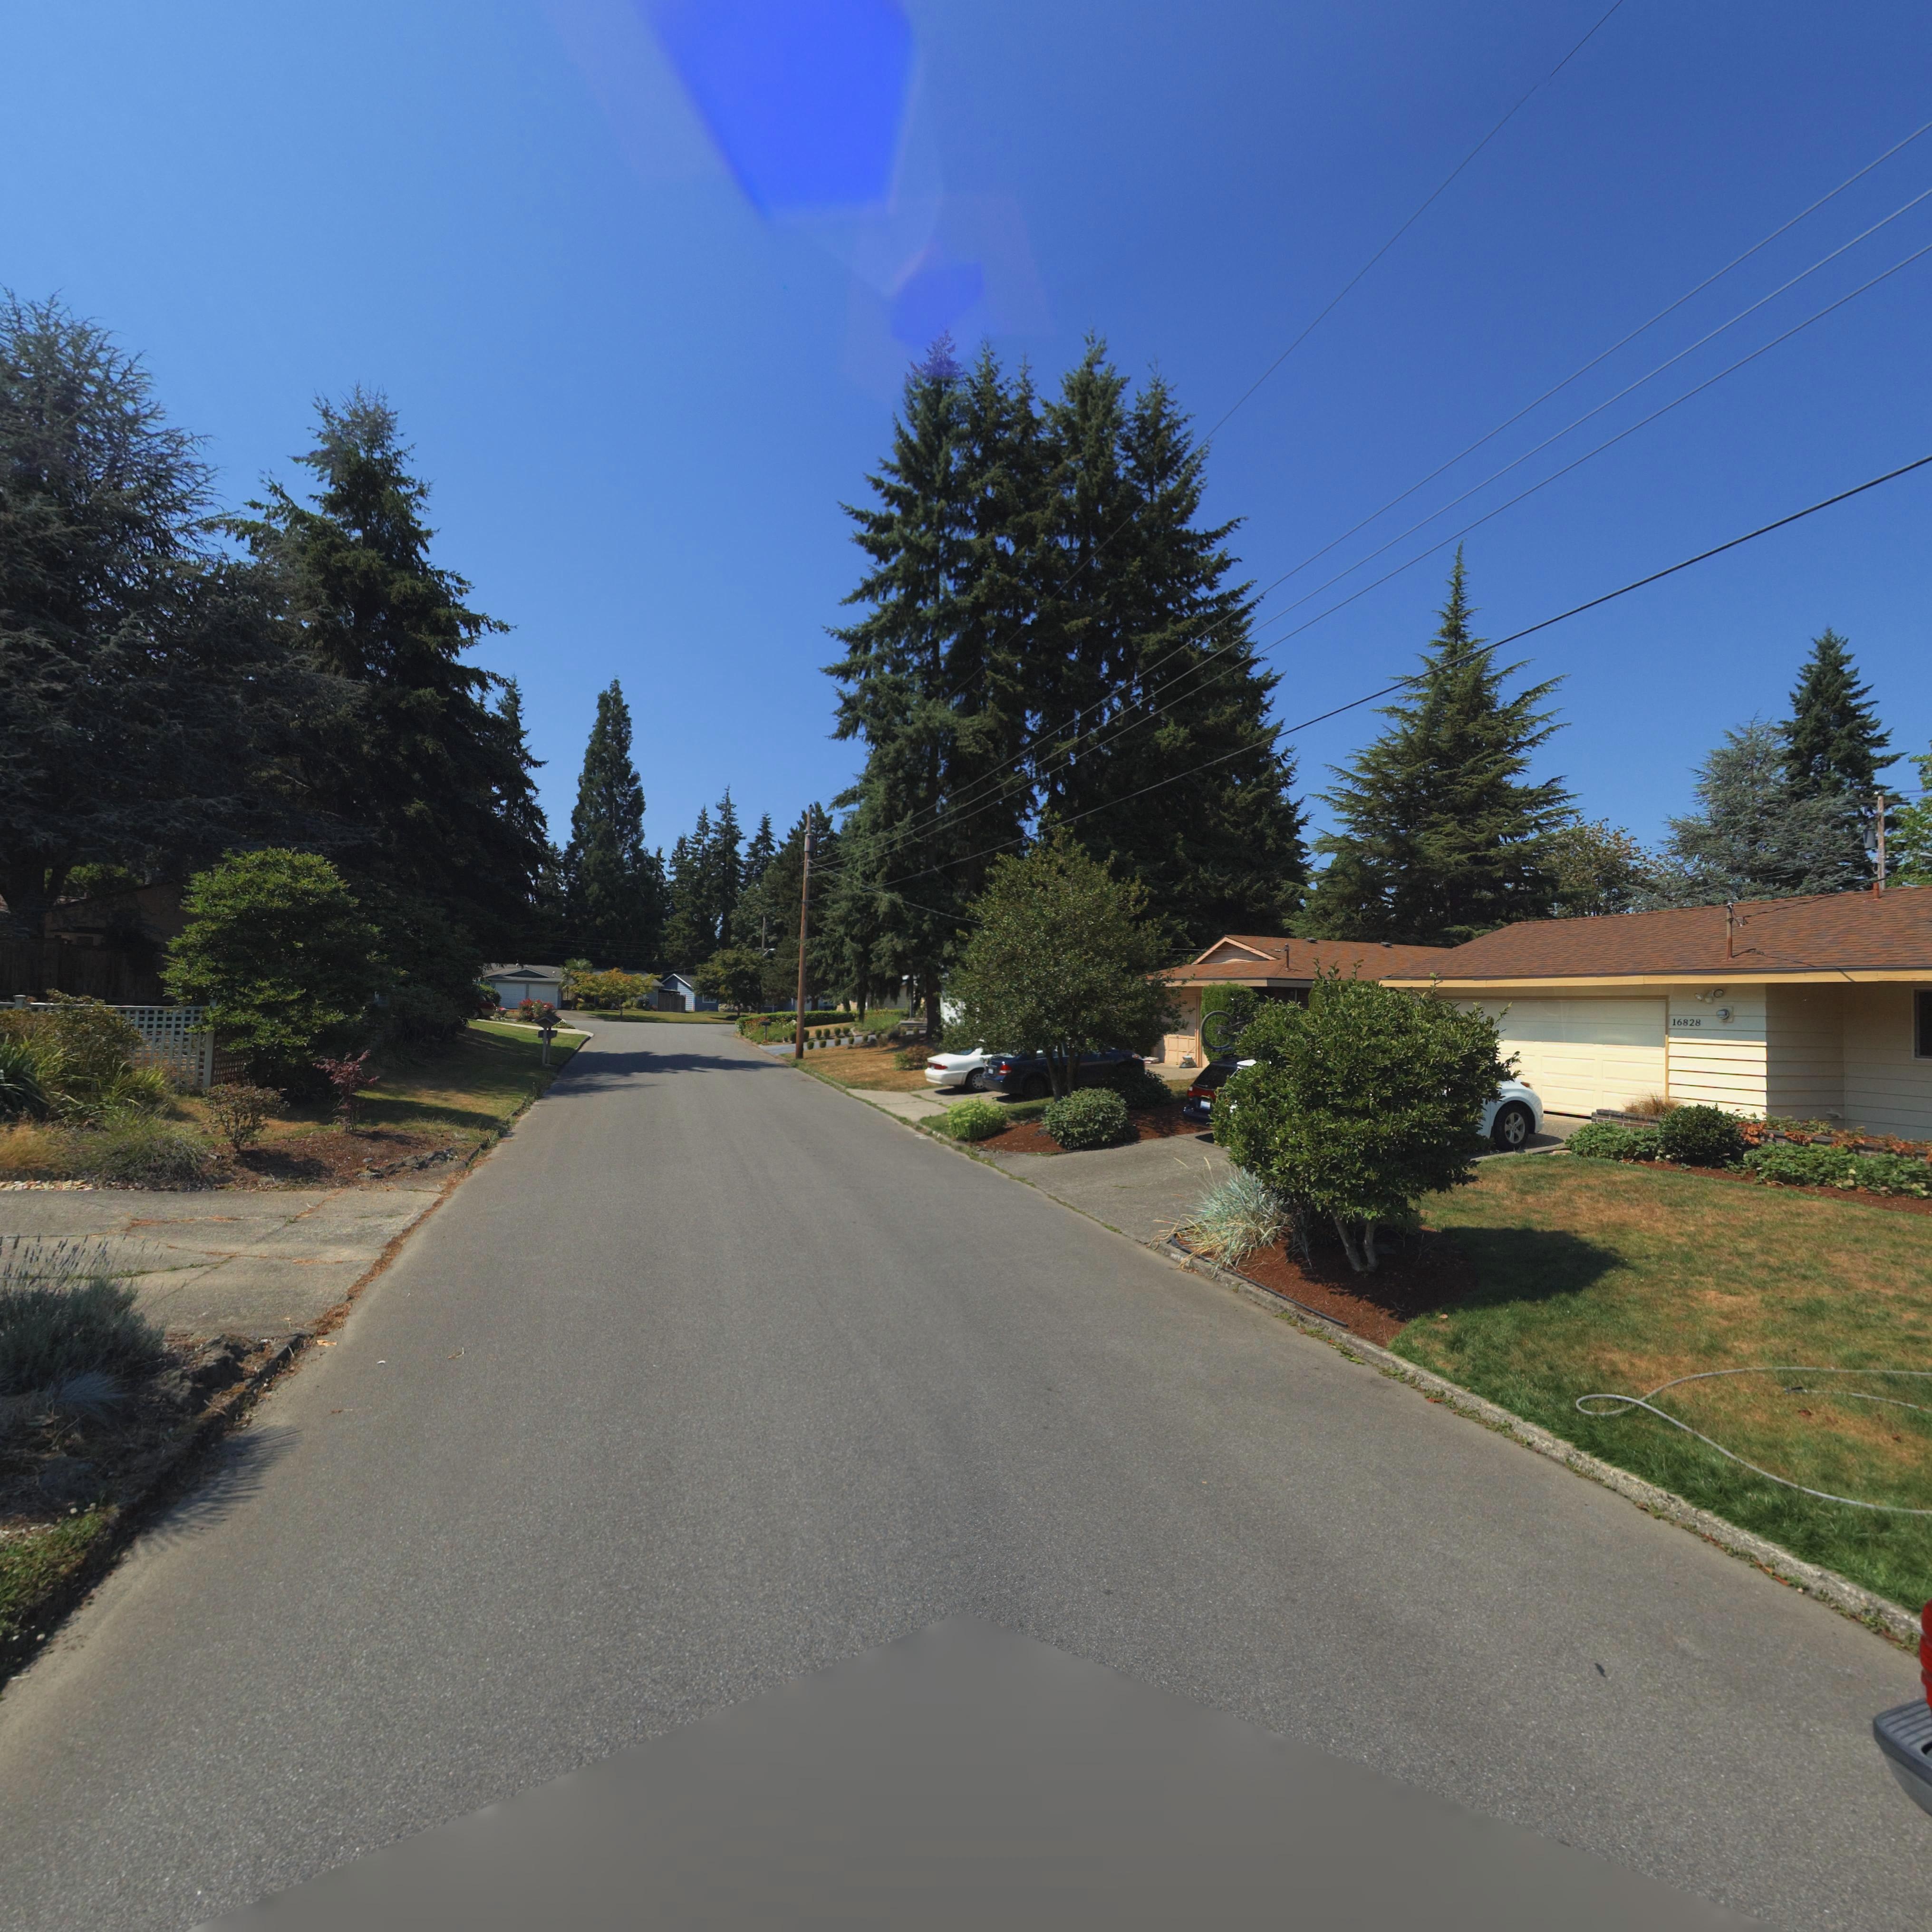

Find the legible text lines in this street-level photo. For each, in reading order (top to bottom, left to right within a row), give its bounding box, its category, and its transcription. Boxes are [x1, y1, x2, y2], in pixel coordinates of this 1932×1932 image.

[1671, 1017, 1701, 1026] StreetNumber: 16828